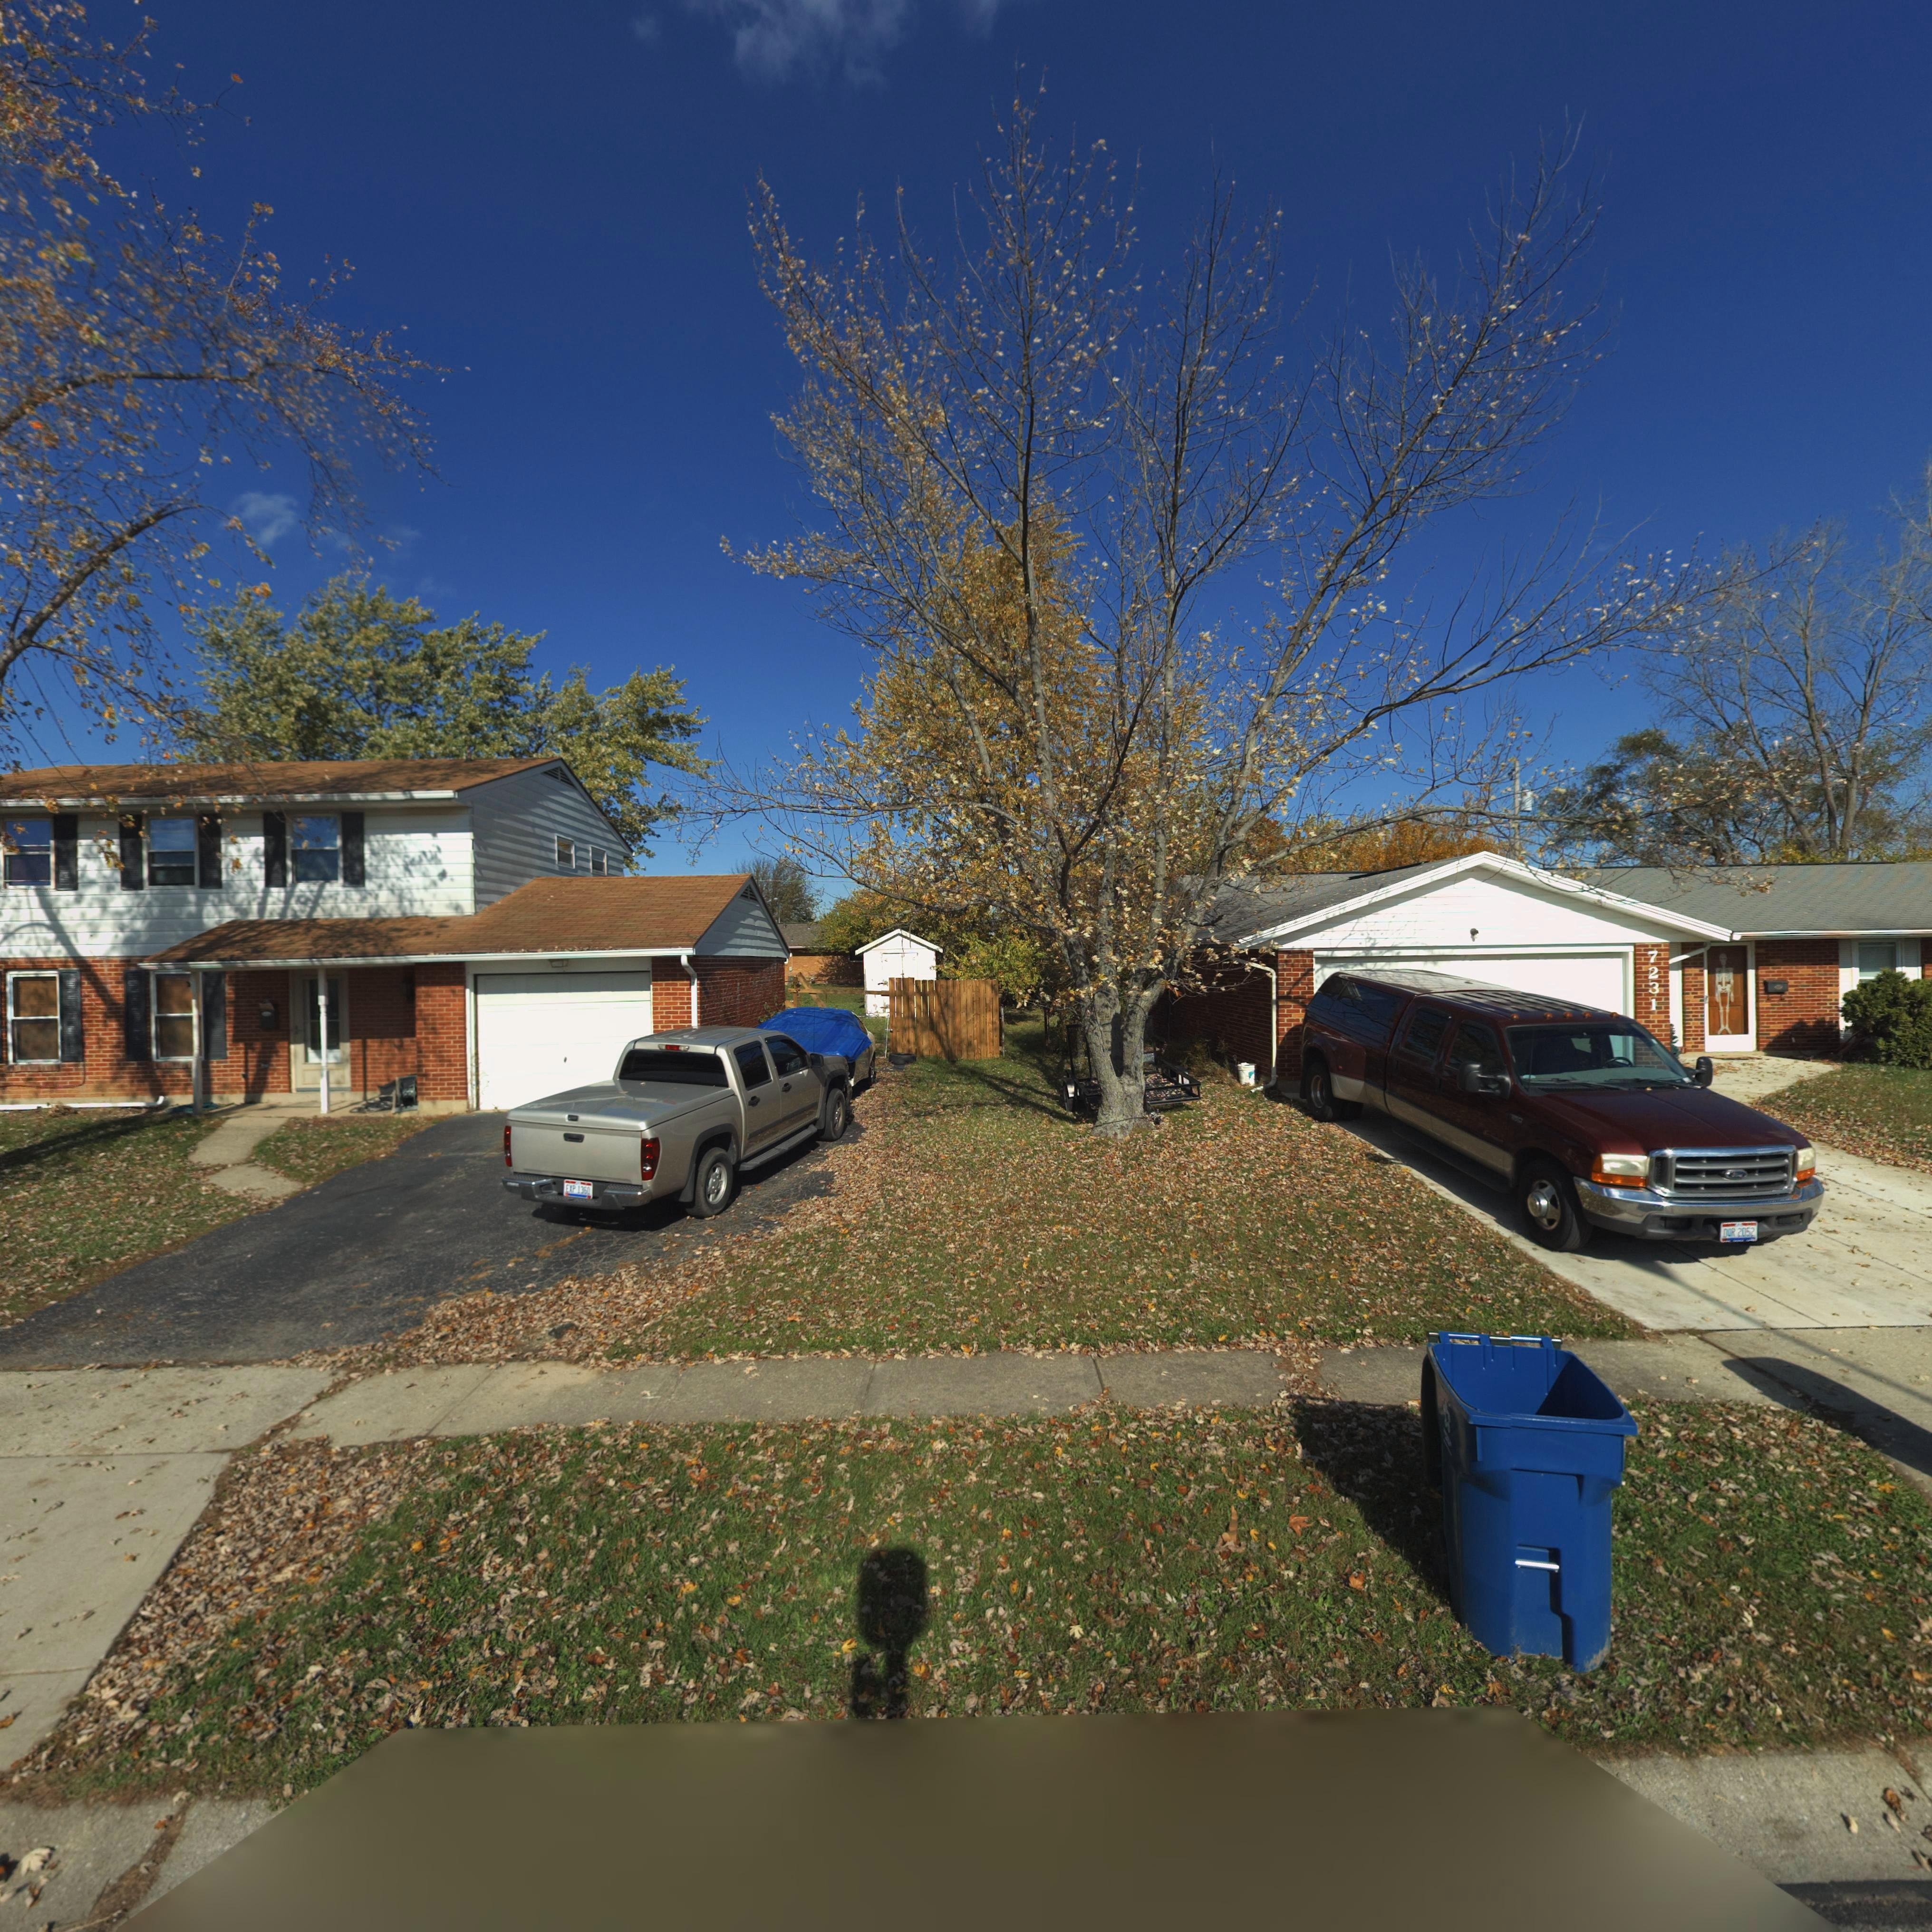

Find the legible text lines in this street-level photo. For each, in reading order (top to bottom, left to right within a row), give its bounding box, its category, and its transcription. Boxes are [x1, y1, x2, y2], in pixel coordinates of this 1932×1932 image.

[1646, 949, 1661, 1012] StreetNumber: 7231